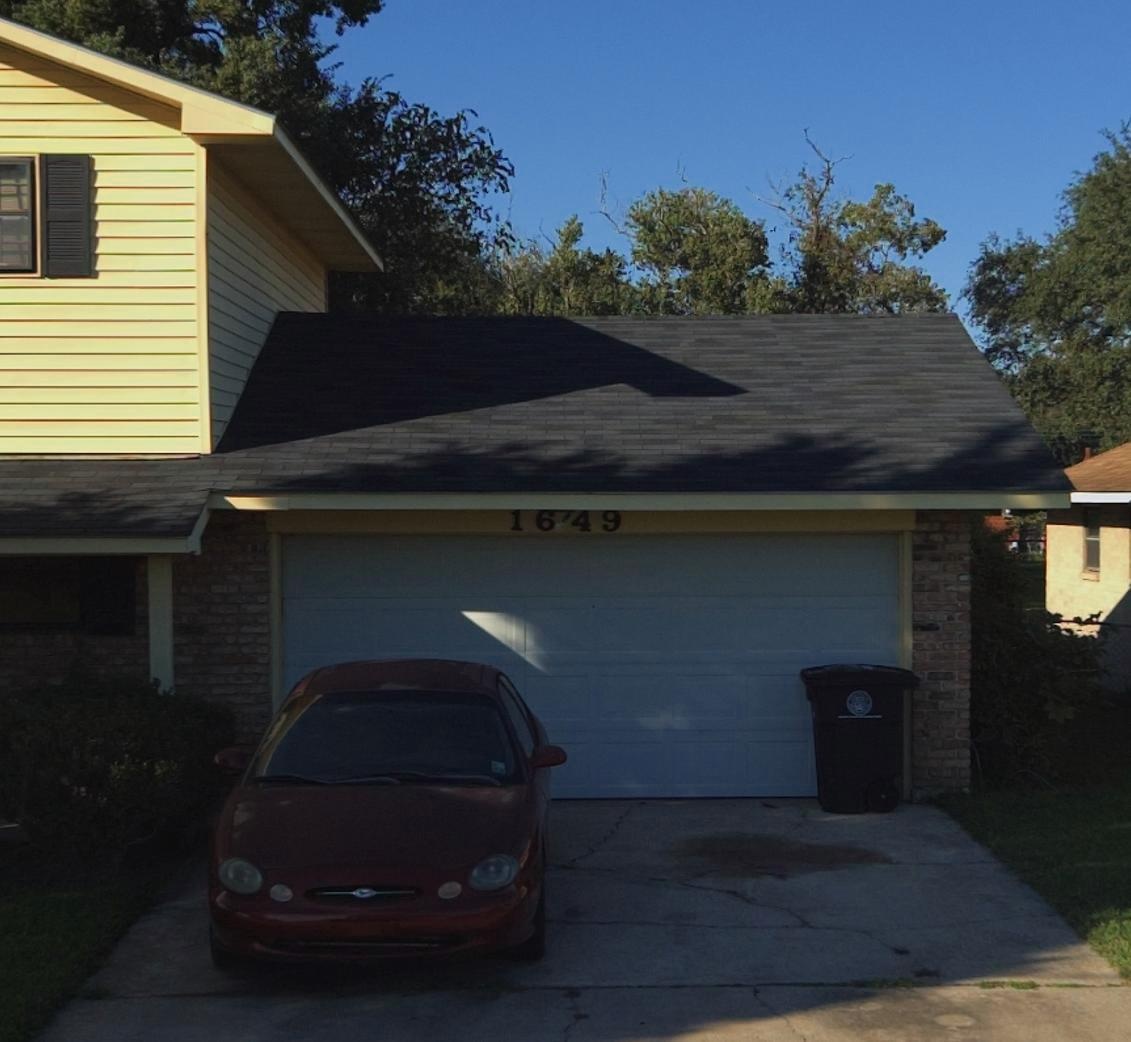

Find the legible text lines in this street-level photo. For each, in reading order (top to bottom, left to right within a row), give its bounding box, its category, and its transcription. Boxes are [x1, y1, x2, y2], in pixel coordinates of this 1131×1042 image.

[510, 509, 622, 533] StreetNumber: 1649